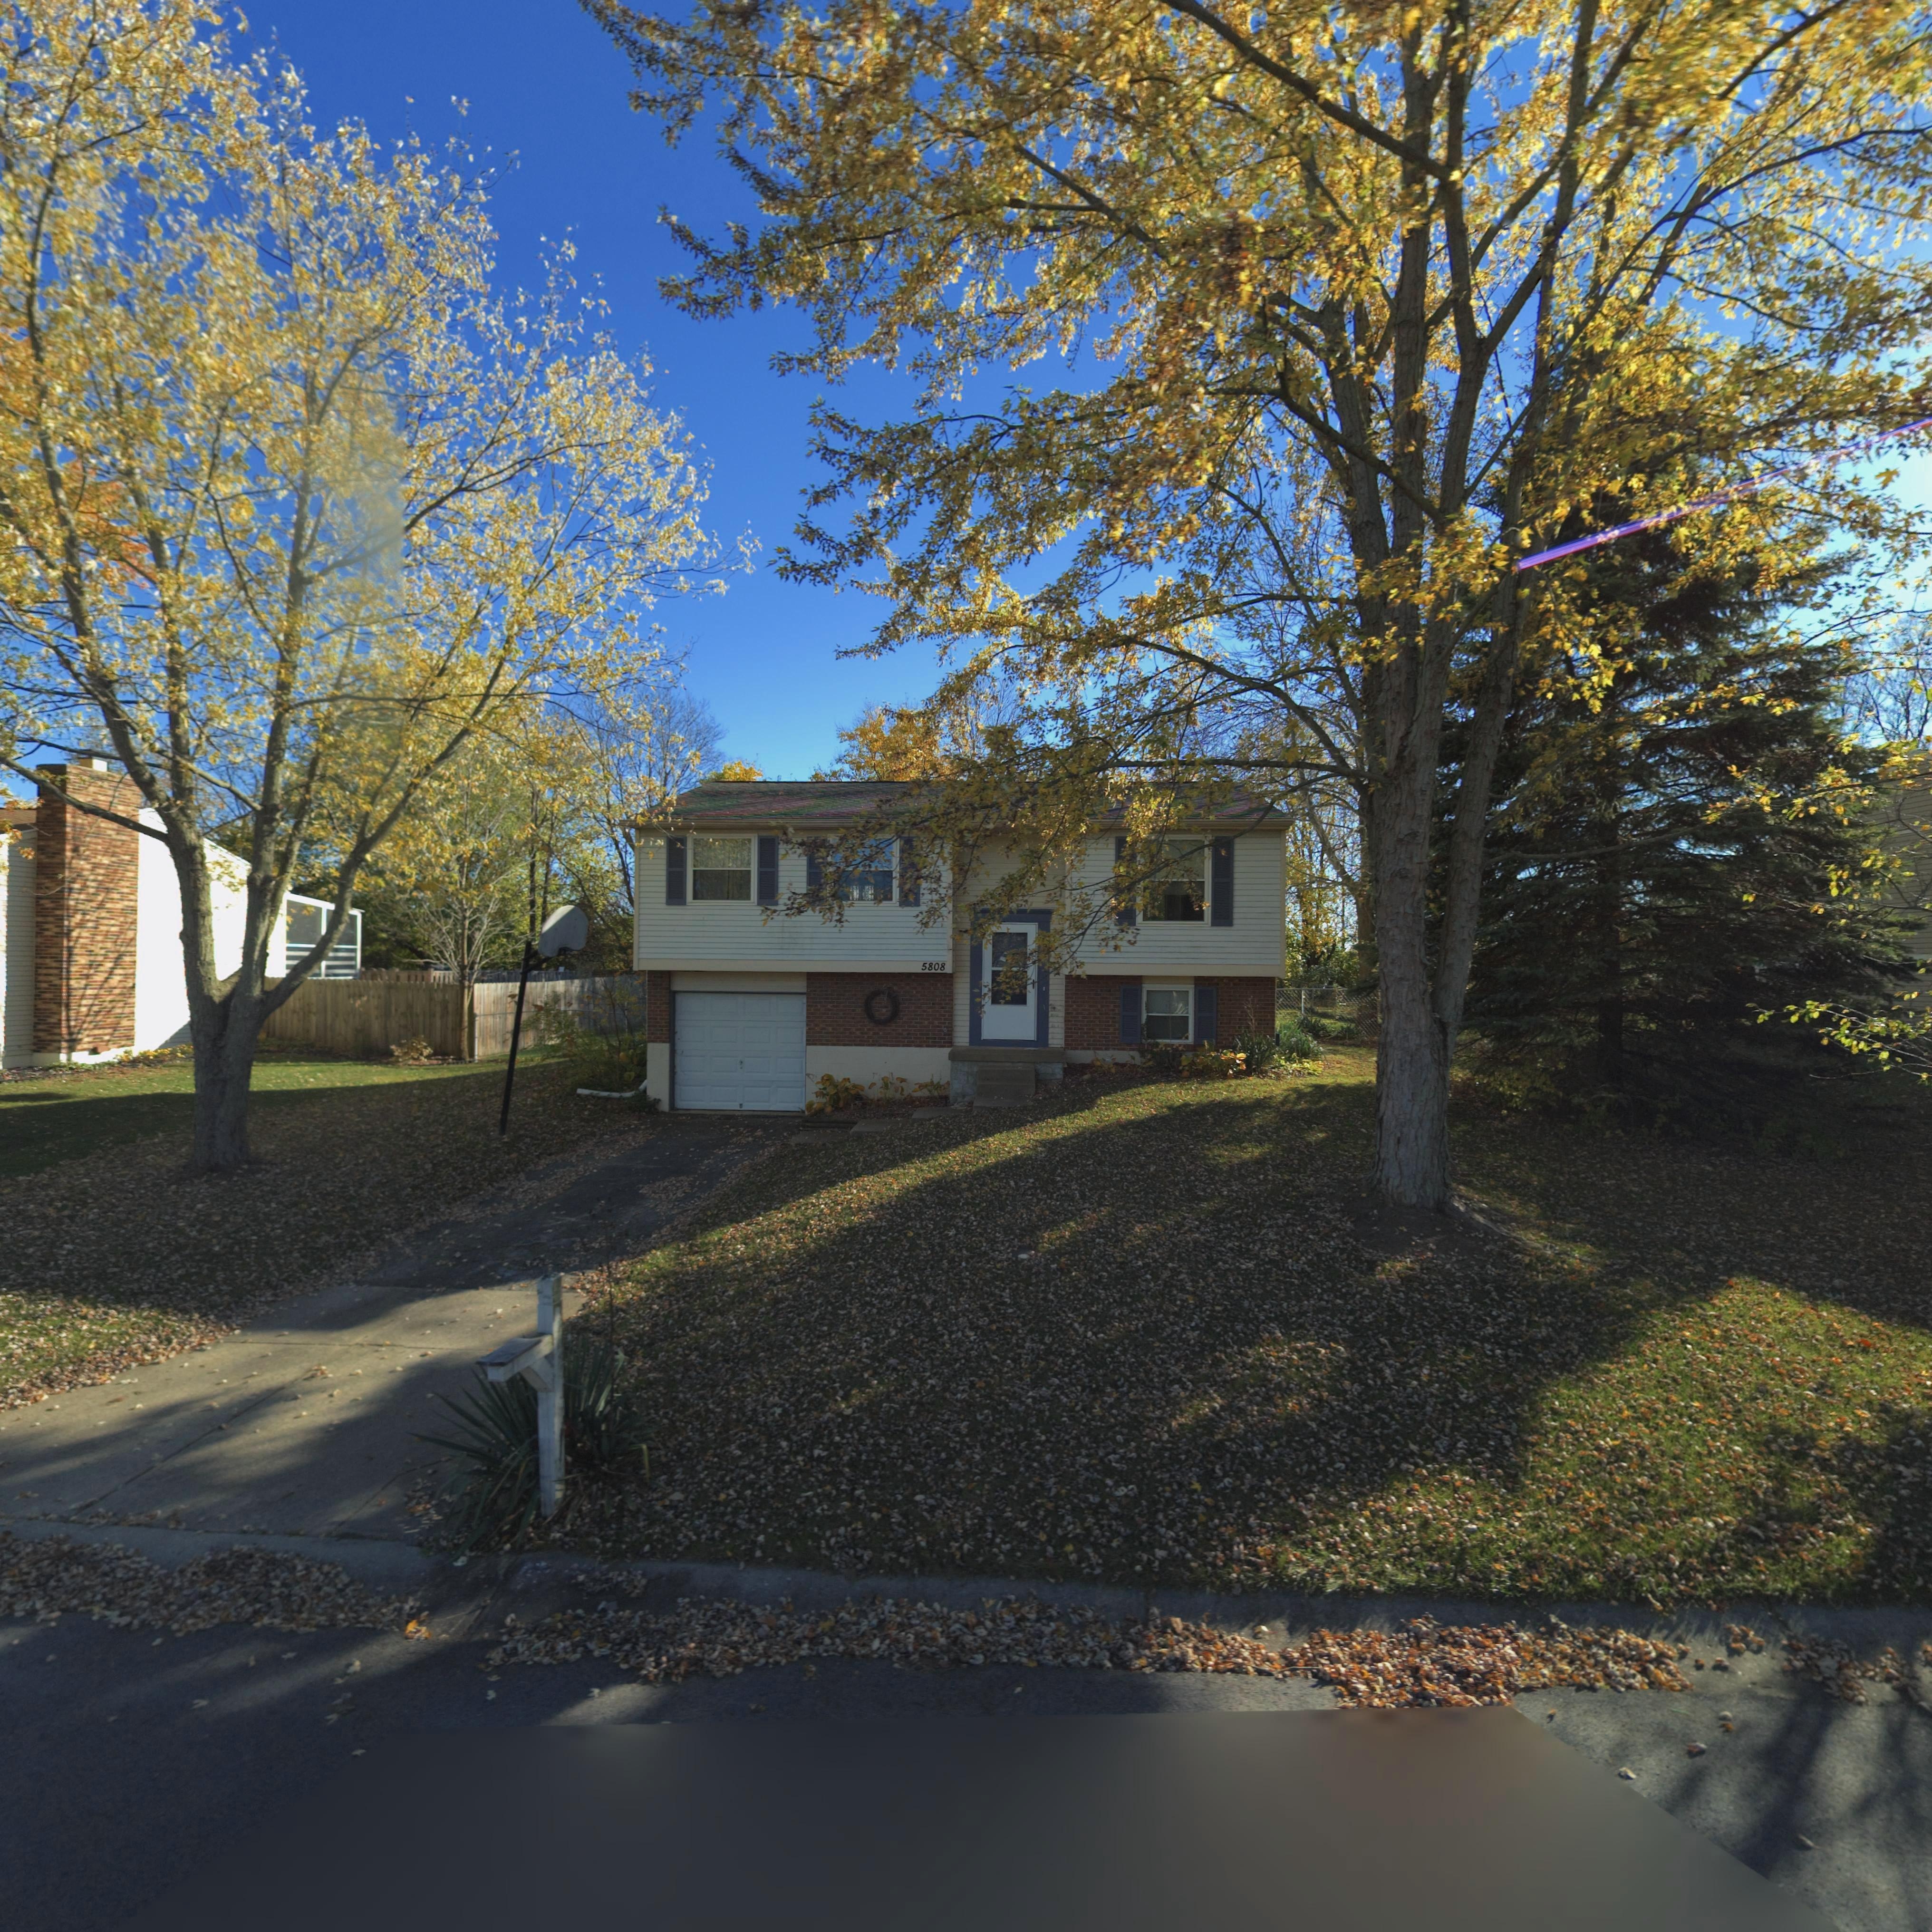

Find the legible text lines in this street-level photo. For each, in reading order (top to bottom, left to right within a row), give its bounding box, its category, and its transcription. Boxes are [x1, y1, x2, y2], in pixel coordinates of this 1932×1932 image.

[920, 961, 947, 972] StreetNumber: 5808